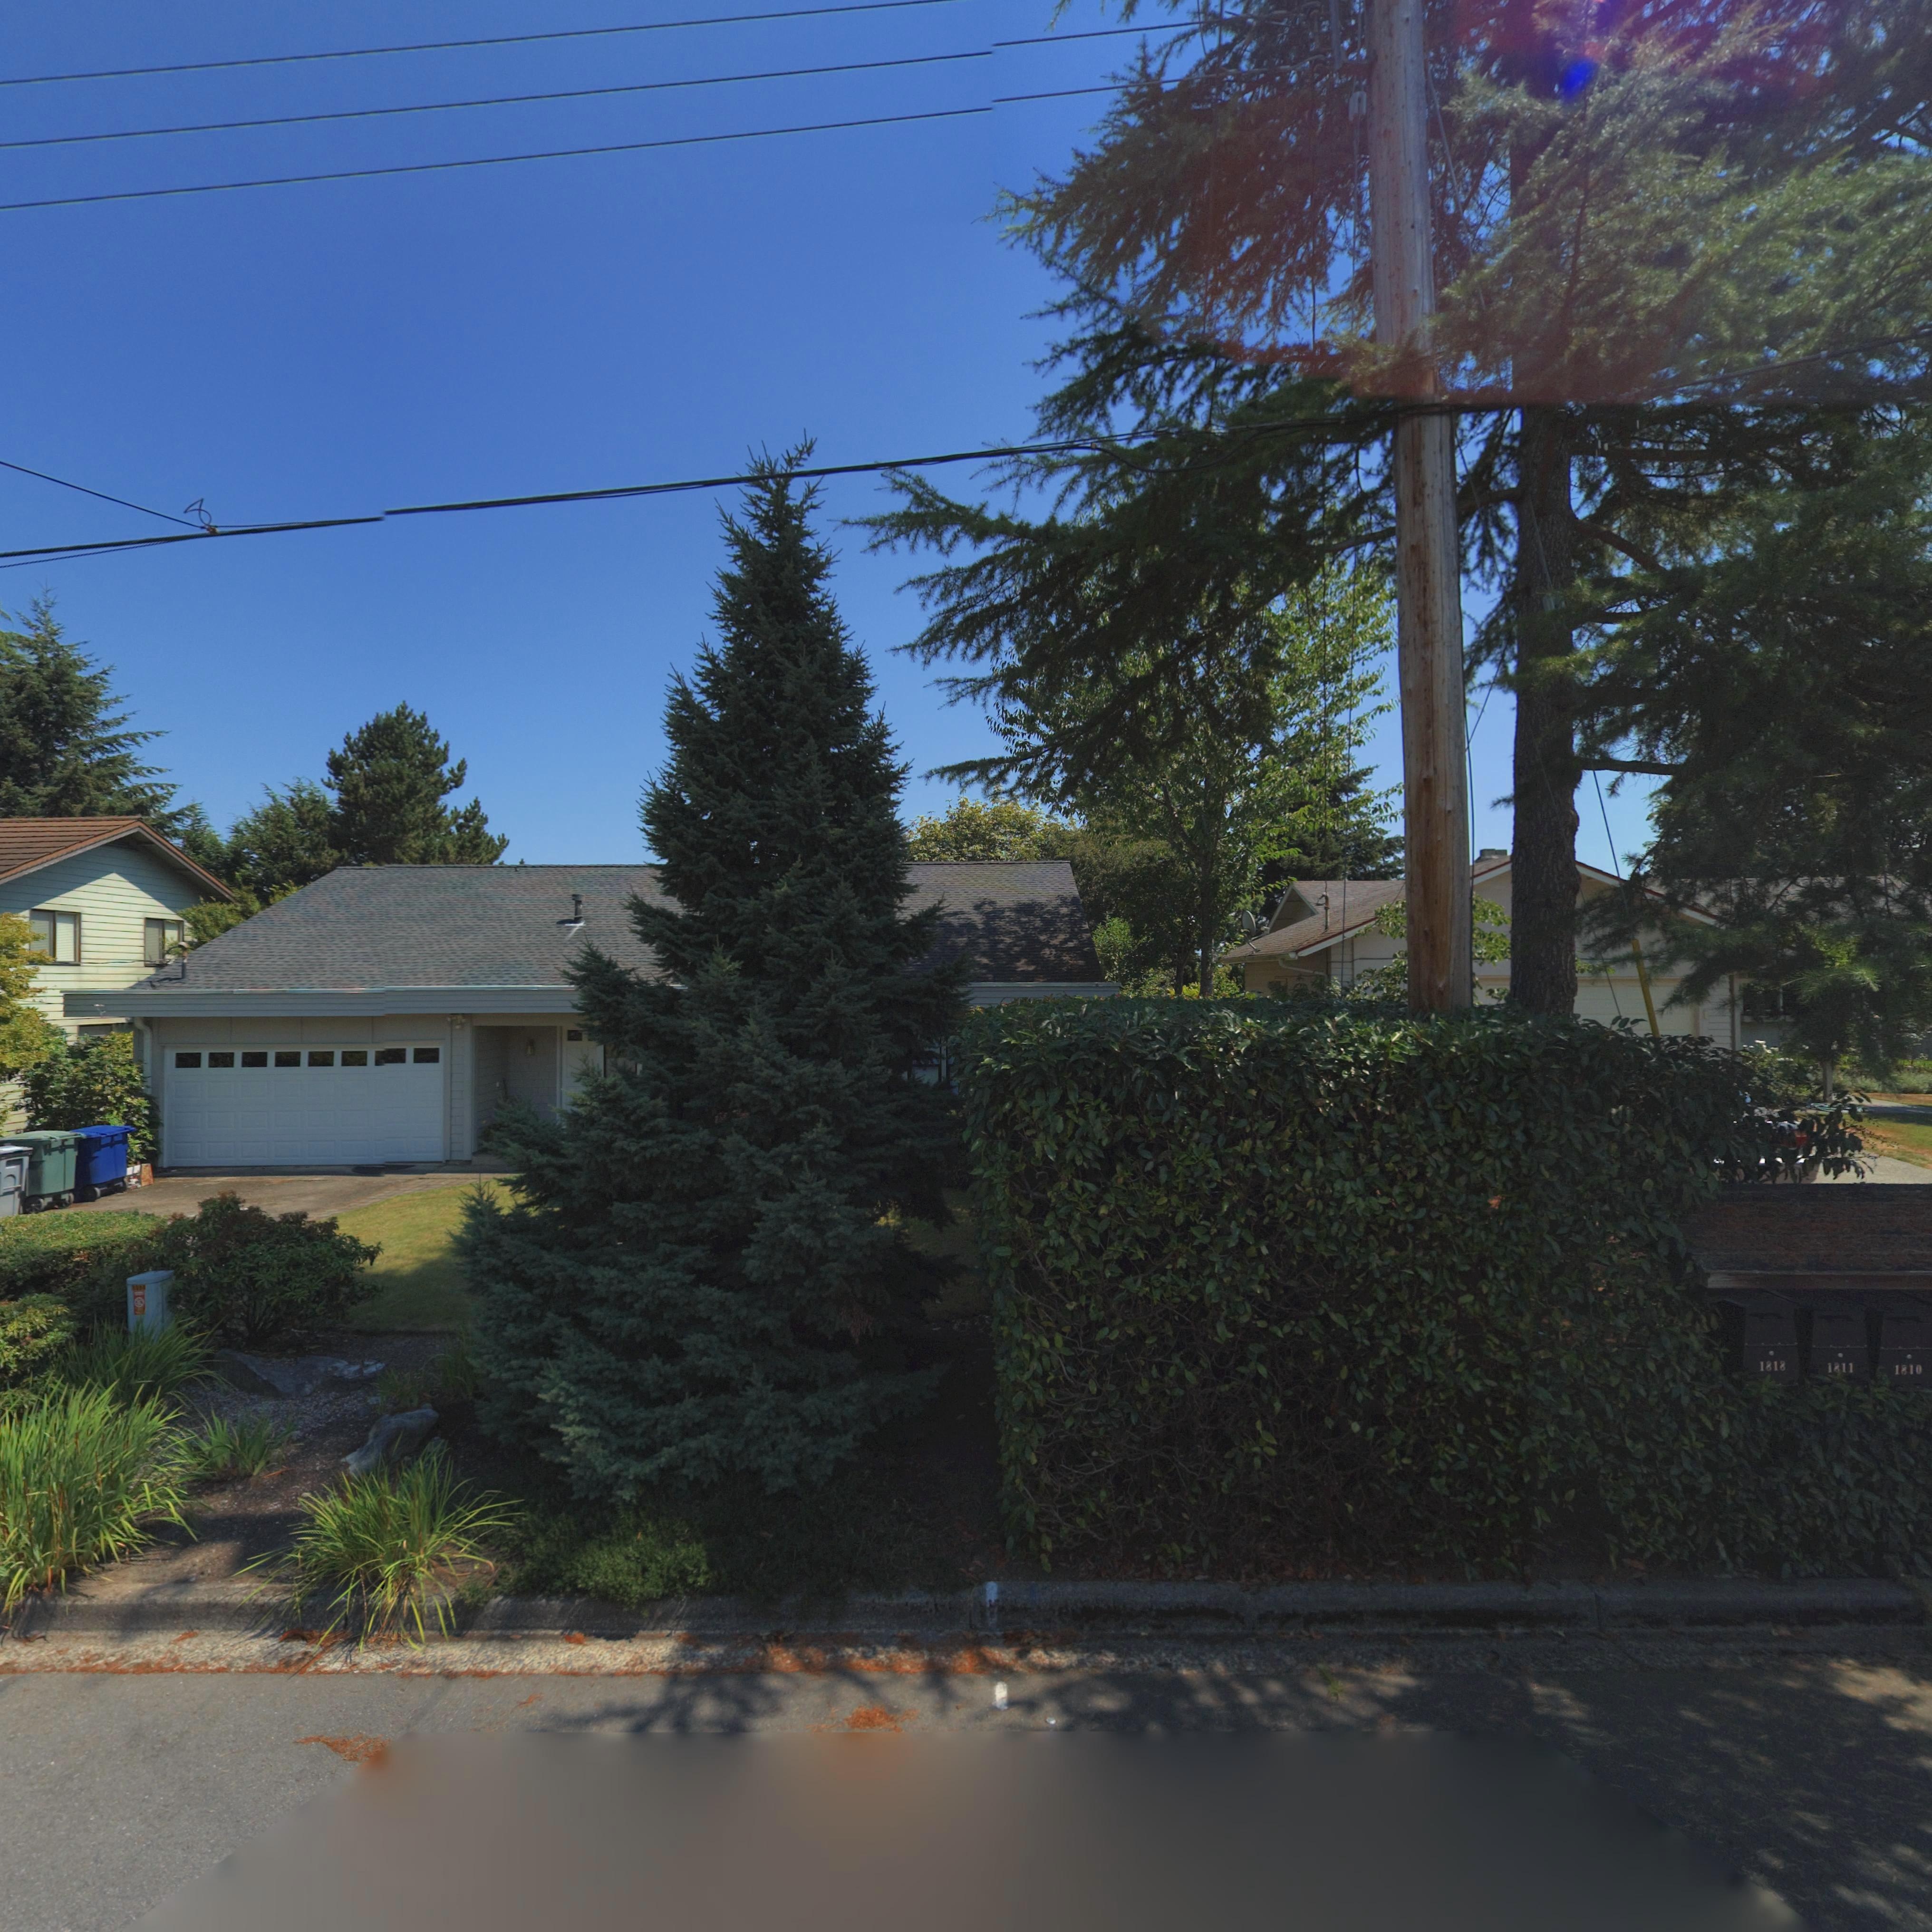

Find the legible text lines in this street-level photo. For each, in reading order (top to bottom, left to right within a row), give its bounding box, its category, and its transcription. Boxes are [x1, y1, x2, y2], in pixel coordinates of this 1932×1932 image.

[1760, 1361, 1785, 1371] StreetNumber: 1818
[1826, 1362, 1854, 1373] StreetNumber: 1811
[1895, 1364, 1921, 1374] StreetNumber: 1810